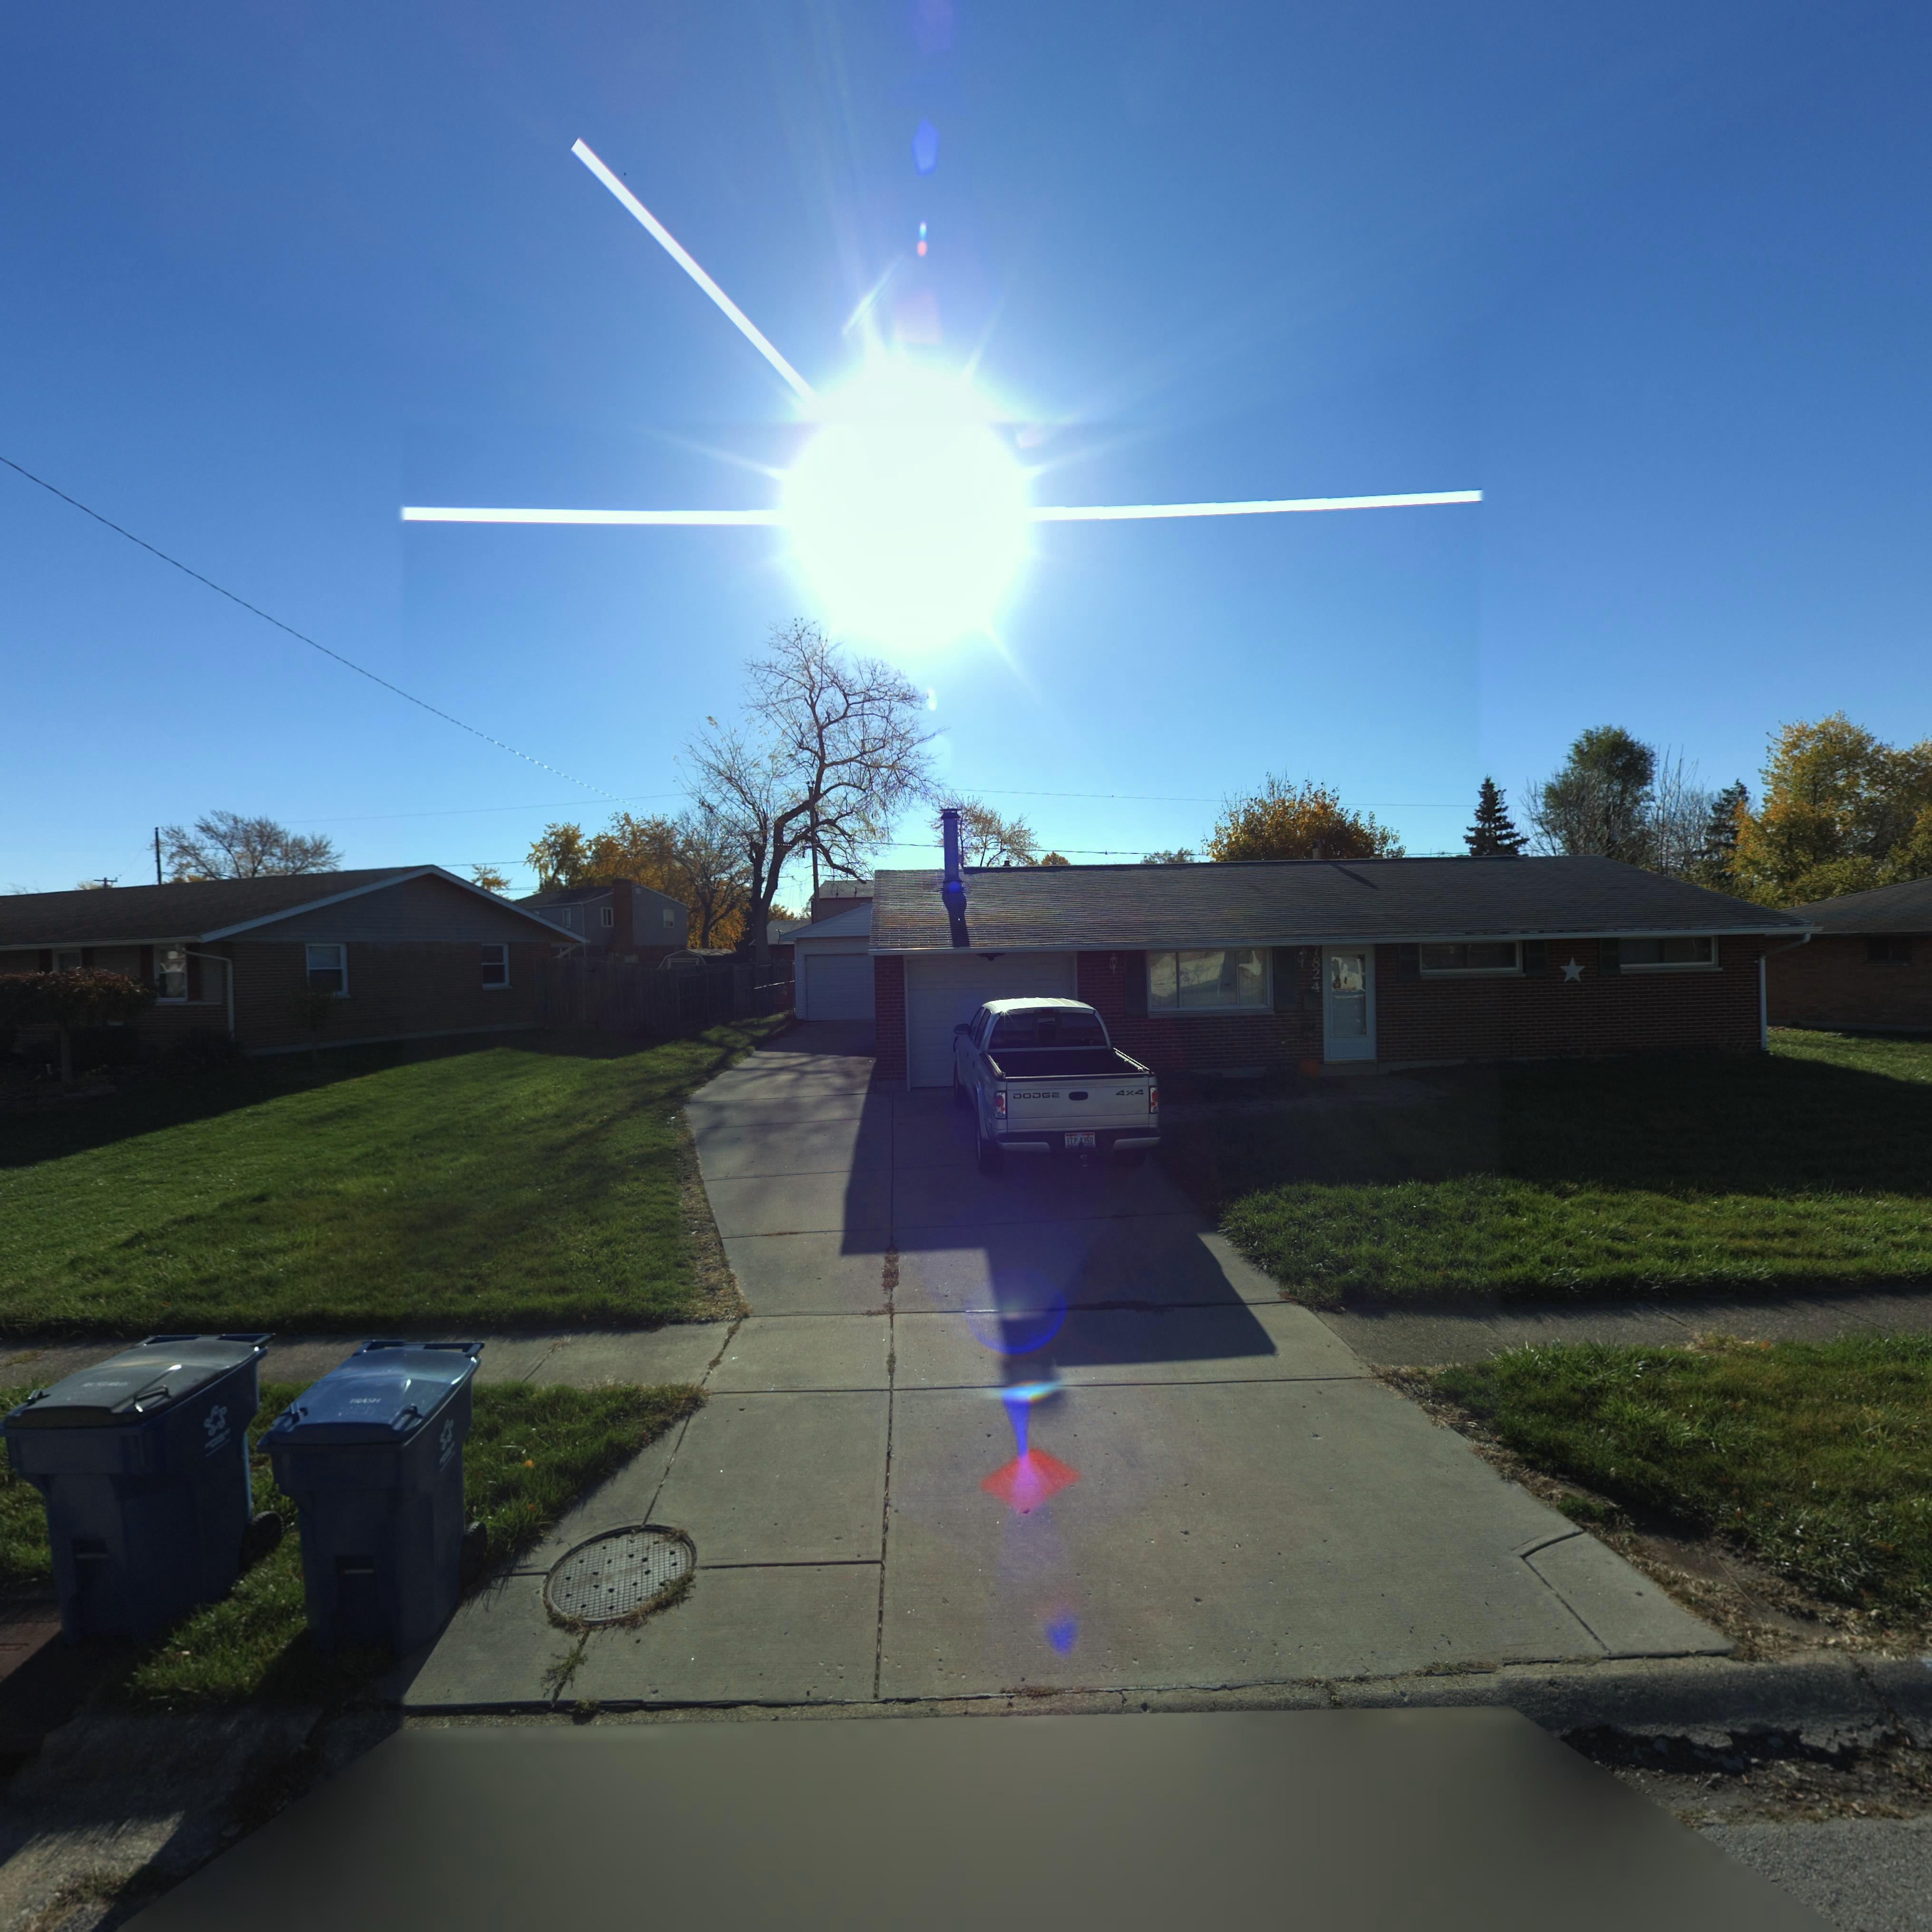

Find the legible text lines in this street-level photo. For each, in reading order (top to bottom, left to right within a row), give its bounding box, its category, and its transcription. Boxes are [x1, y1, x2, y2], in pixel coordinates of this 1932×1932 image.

[1311, 944, 1321, 994] StreetNumber: 7824